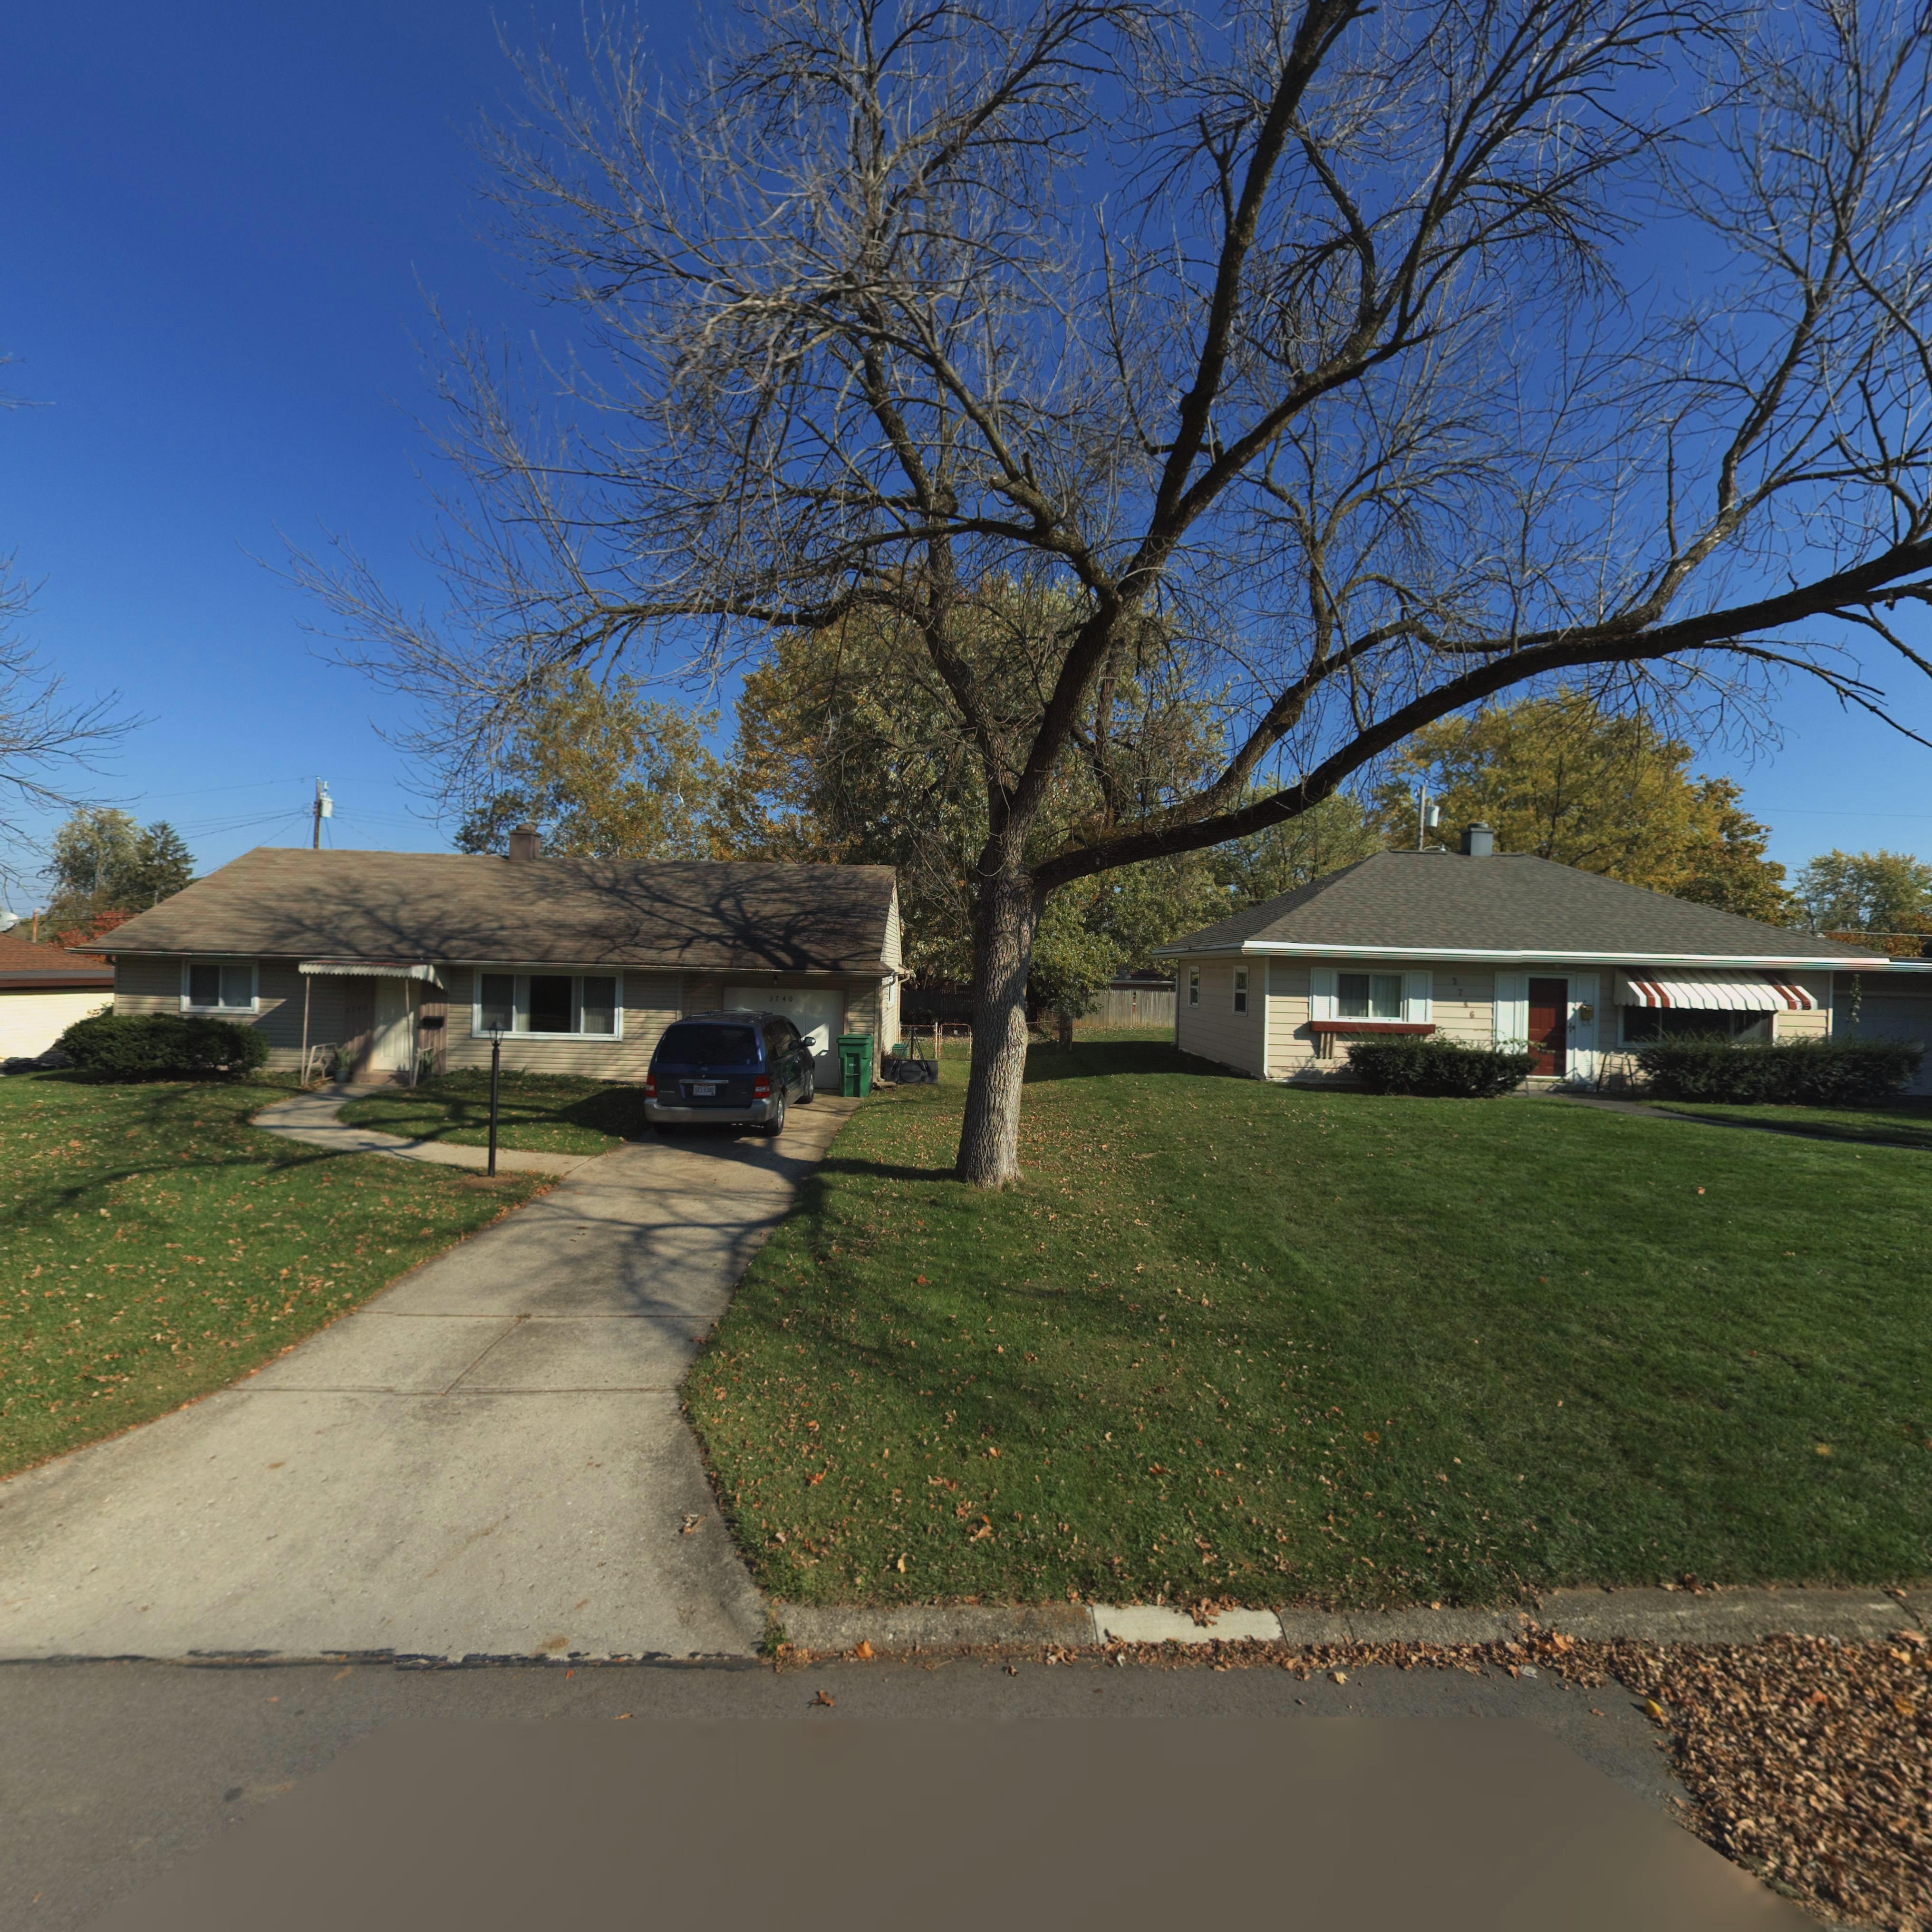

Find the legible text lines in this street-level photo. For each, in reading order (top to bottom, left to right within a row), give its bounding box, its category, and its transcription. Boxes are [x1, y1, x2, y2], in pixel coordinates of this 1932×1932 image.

[768, 994, 794, 1004] StreetNumber: 3740
[1450, 976, 1476, 1020] StreetNumber: 3746